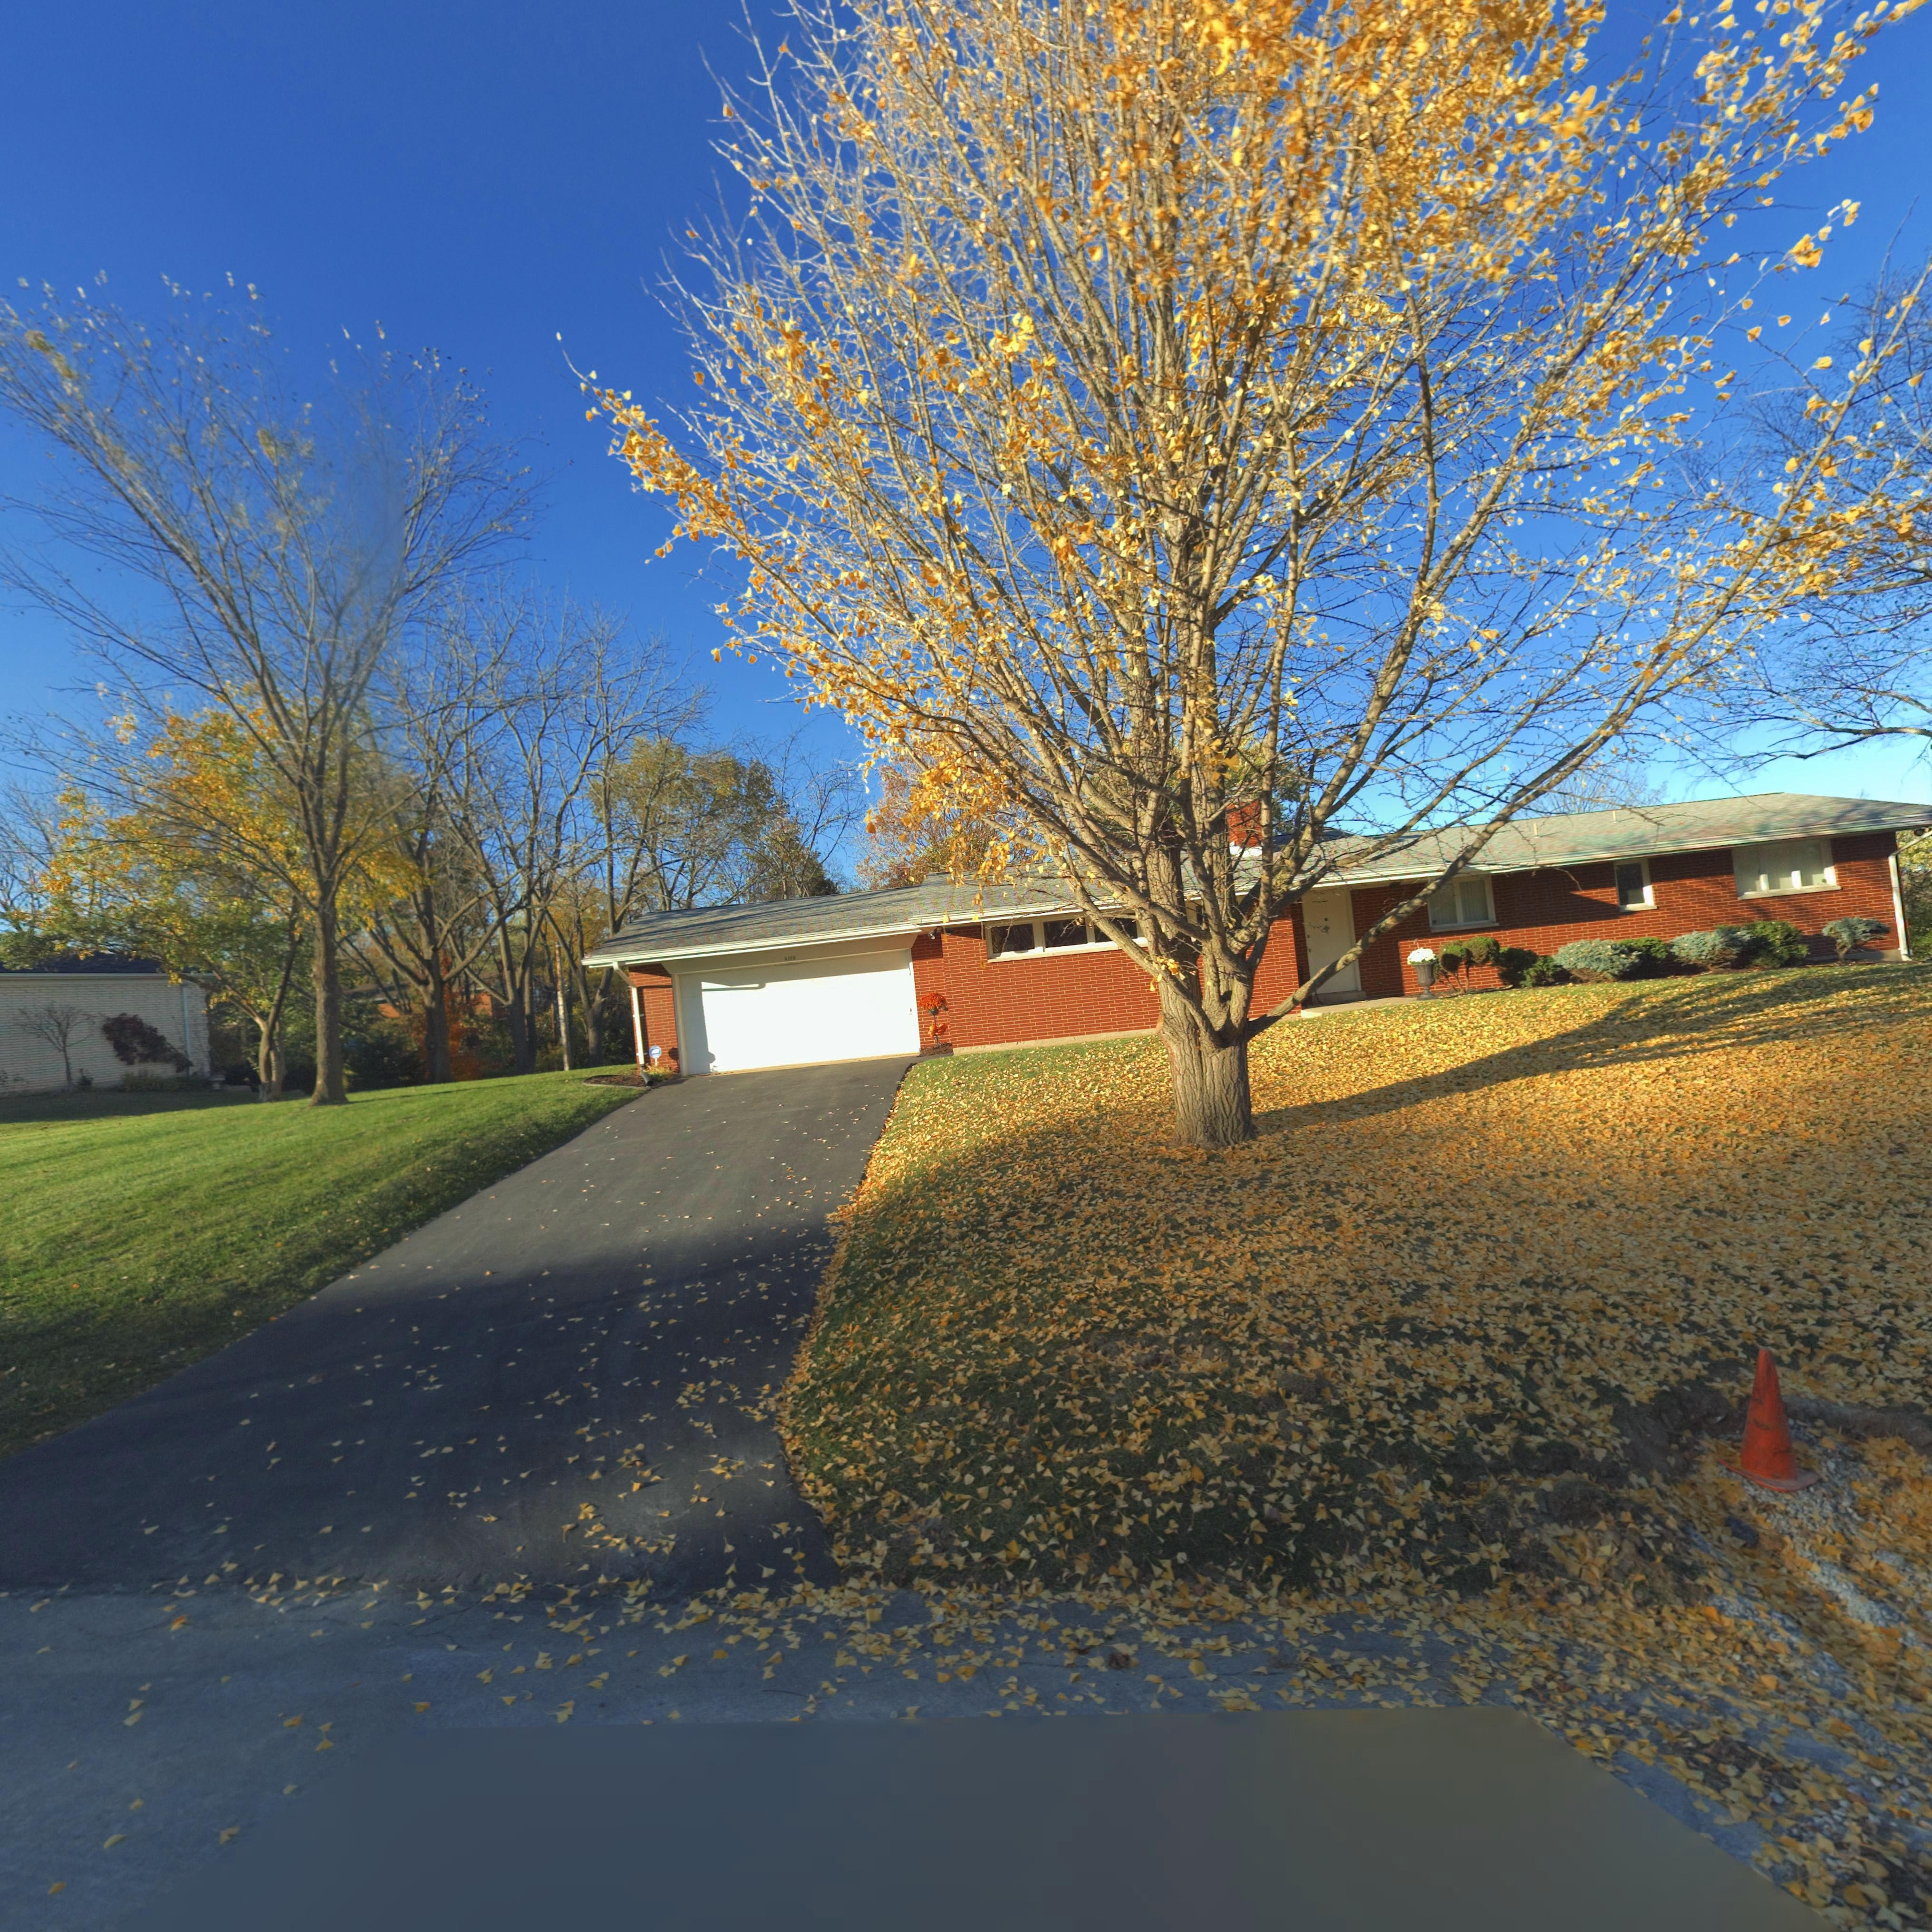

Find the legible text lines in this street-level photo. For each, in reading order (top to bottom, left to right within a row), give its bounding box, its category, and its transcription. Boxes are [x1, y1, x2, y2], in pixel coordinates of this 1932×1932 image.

[783, 954, 797, 962] StreetNumber: **0*